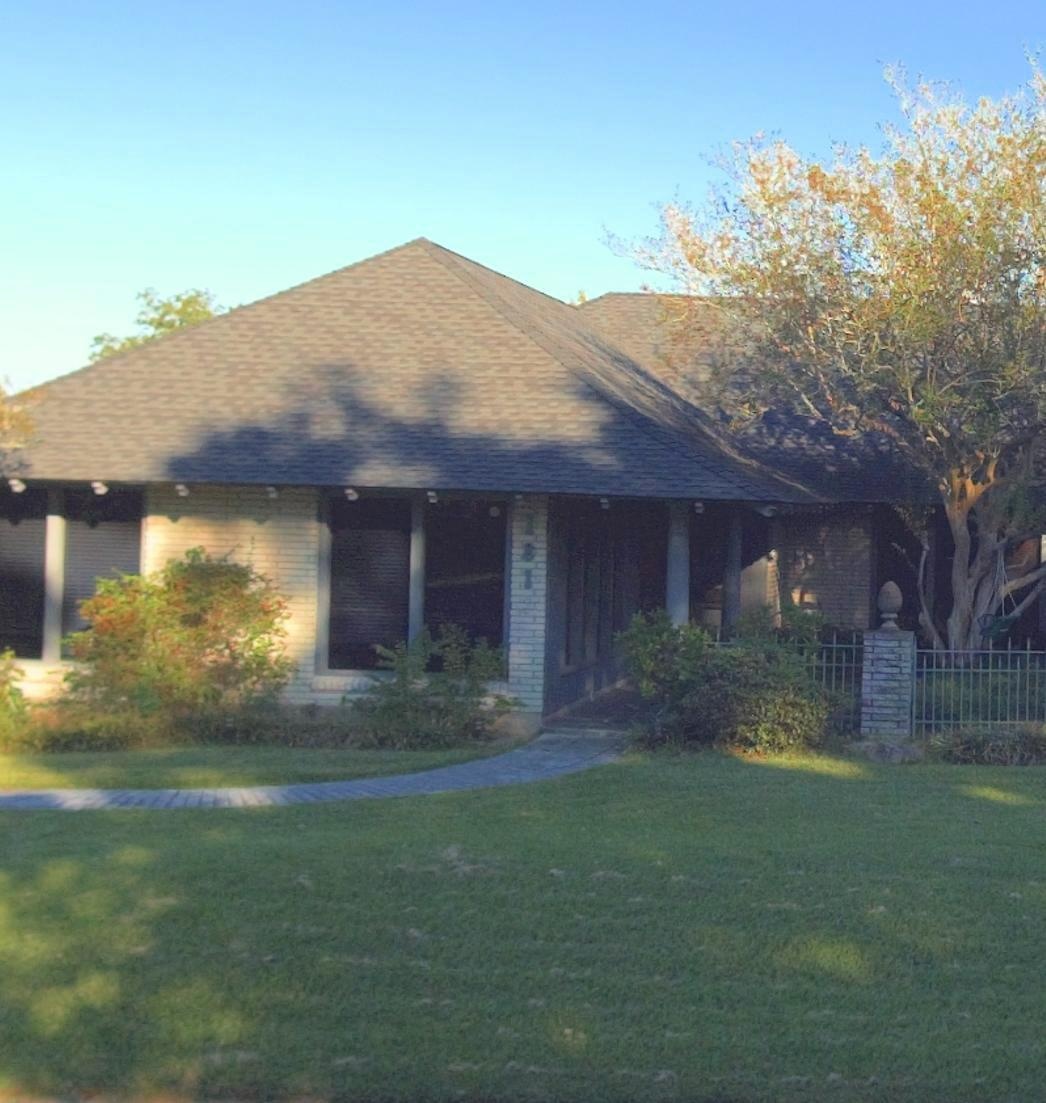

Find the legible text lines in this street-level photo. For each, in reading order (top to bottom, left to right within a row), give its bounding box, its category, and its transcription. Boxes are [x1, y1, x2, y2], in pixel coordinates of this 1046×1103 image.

[519, 513, 536, 592] StreetNumber: 181